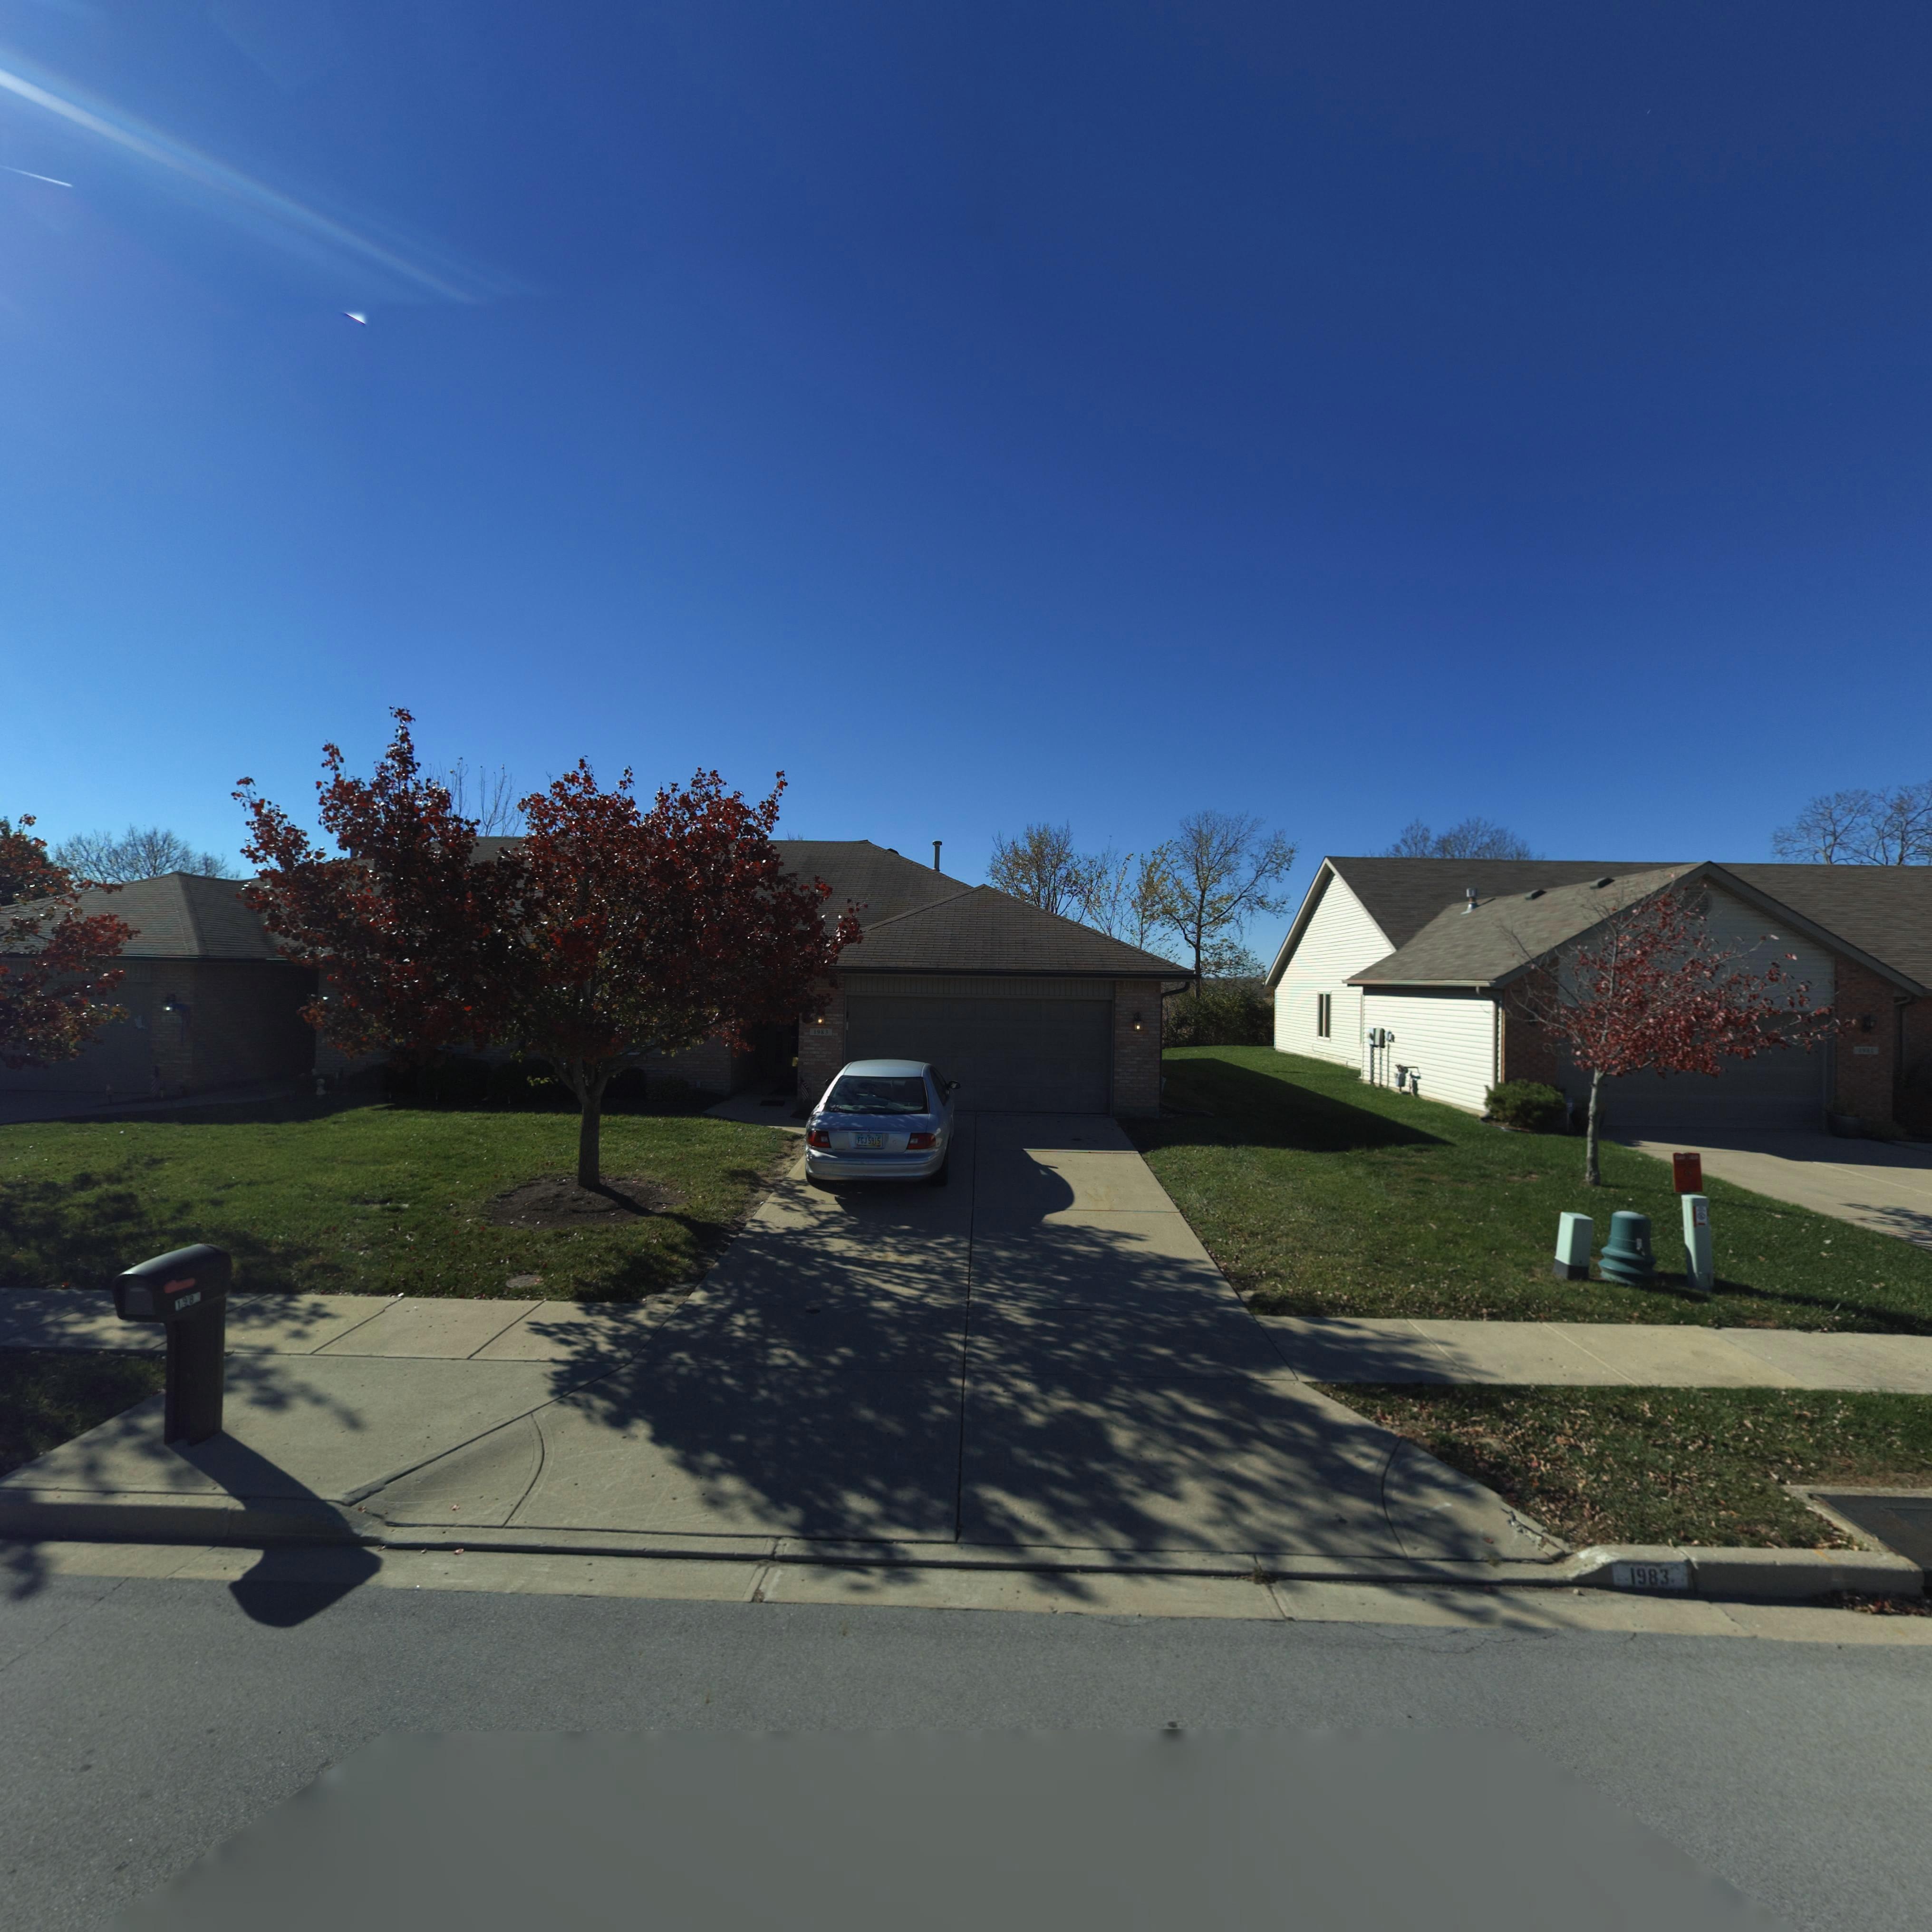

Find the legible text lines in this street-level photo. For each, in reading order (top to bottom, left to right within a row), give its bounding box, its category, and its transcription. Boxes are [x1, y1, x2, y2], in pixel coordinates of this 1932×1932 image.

[813, 1028, 829, 1036] StreetNumber: 1983
[176, 1293, 195, 1310] StreetNumber: 198
[1629, 1566, 1671, 1587] StreetNumber: 1983